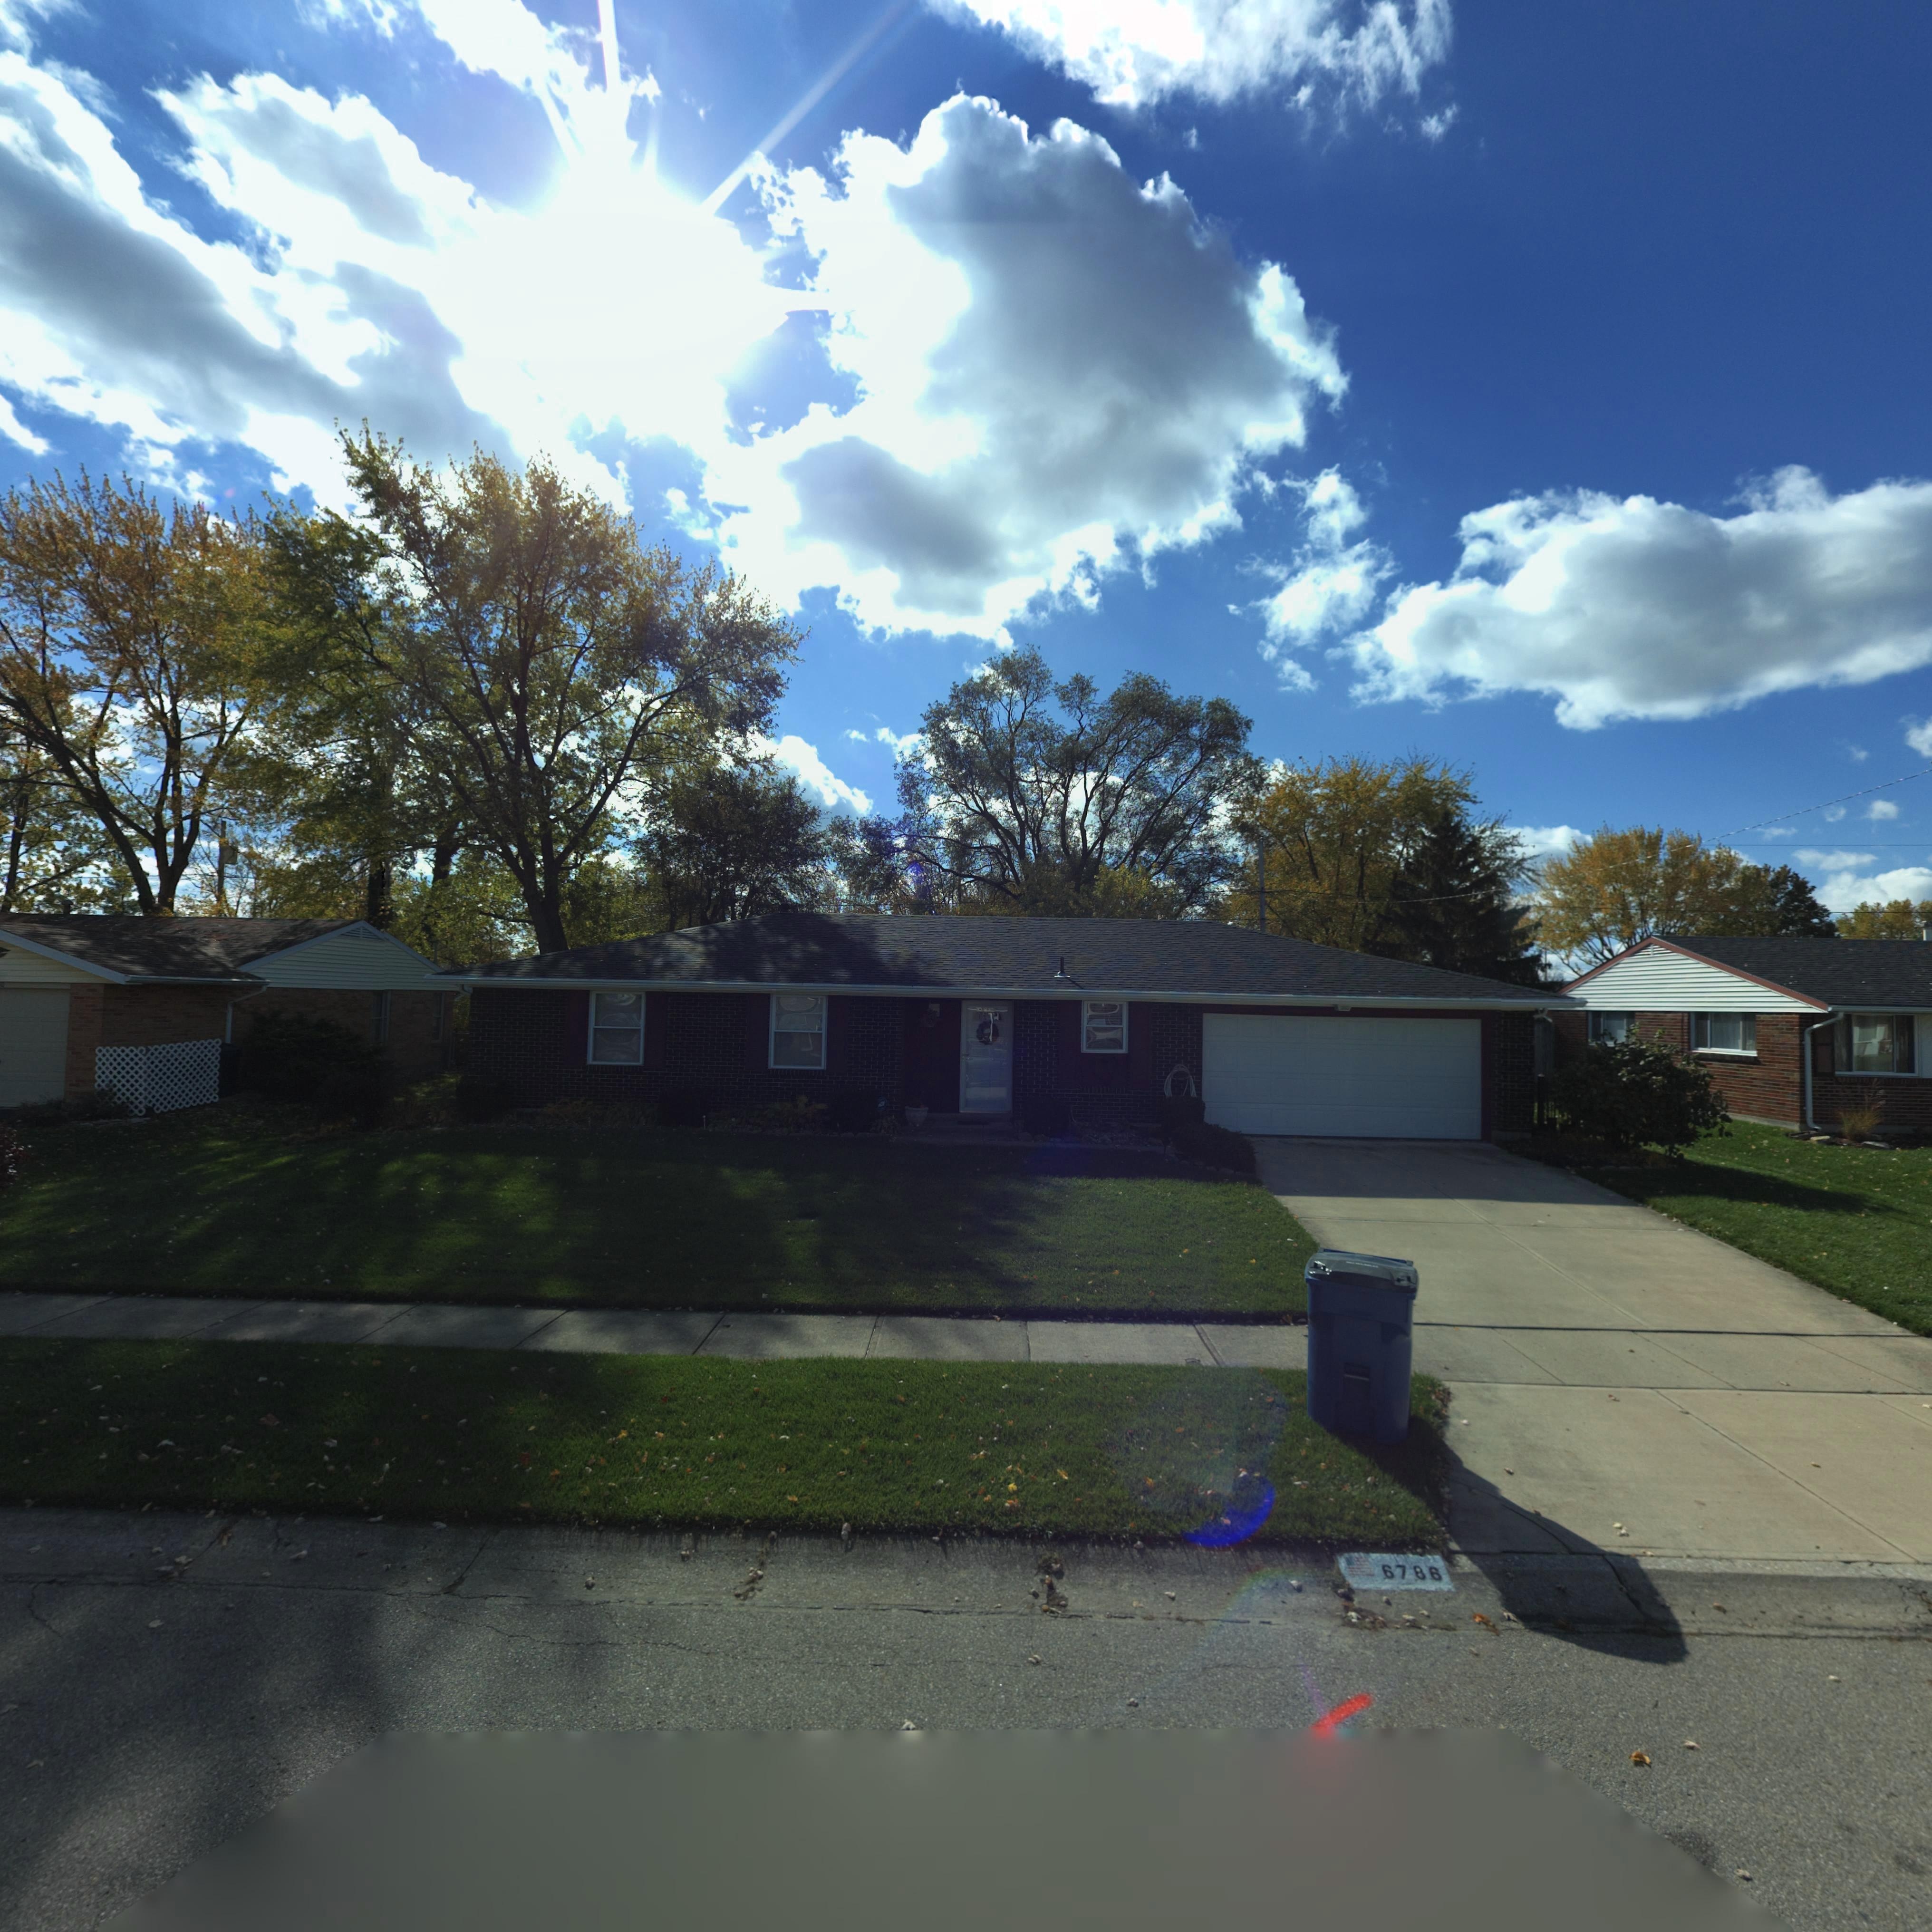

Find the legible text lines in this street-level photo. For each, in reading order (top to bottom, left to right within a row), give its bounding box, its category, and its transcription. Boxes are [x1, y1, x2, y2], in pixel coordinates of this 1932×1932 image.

[1380, 1564, 1444, 1582] StreetNumber: 6786